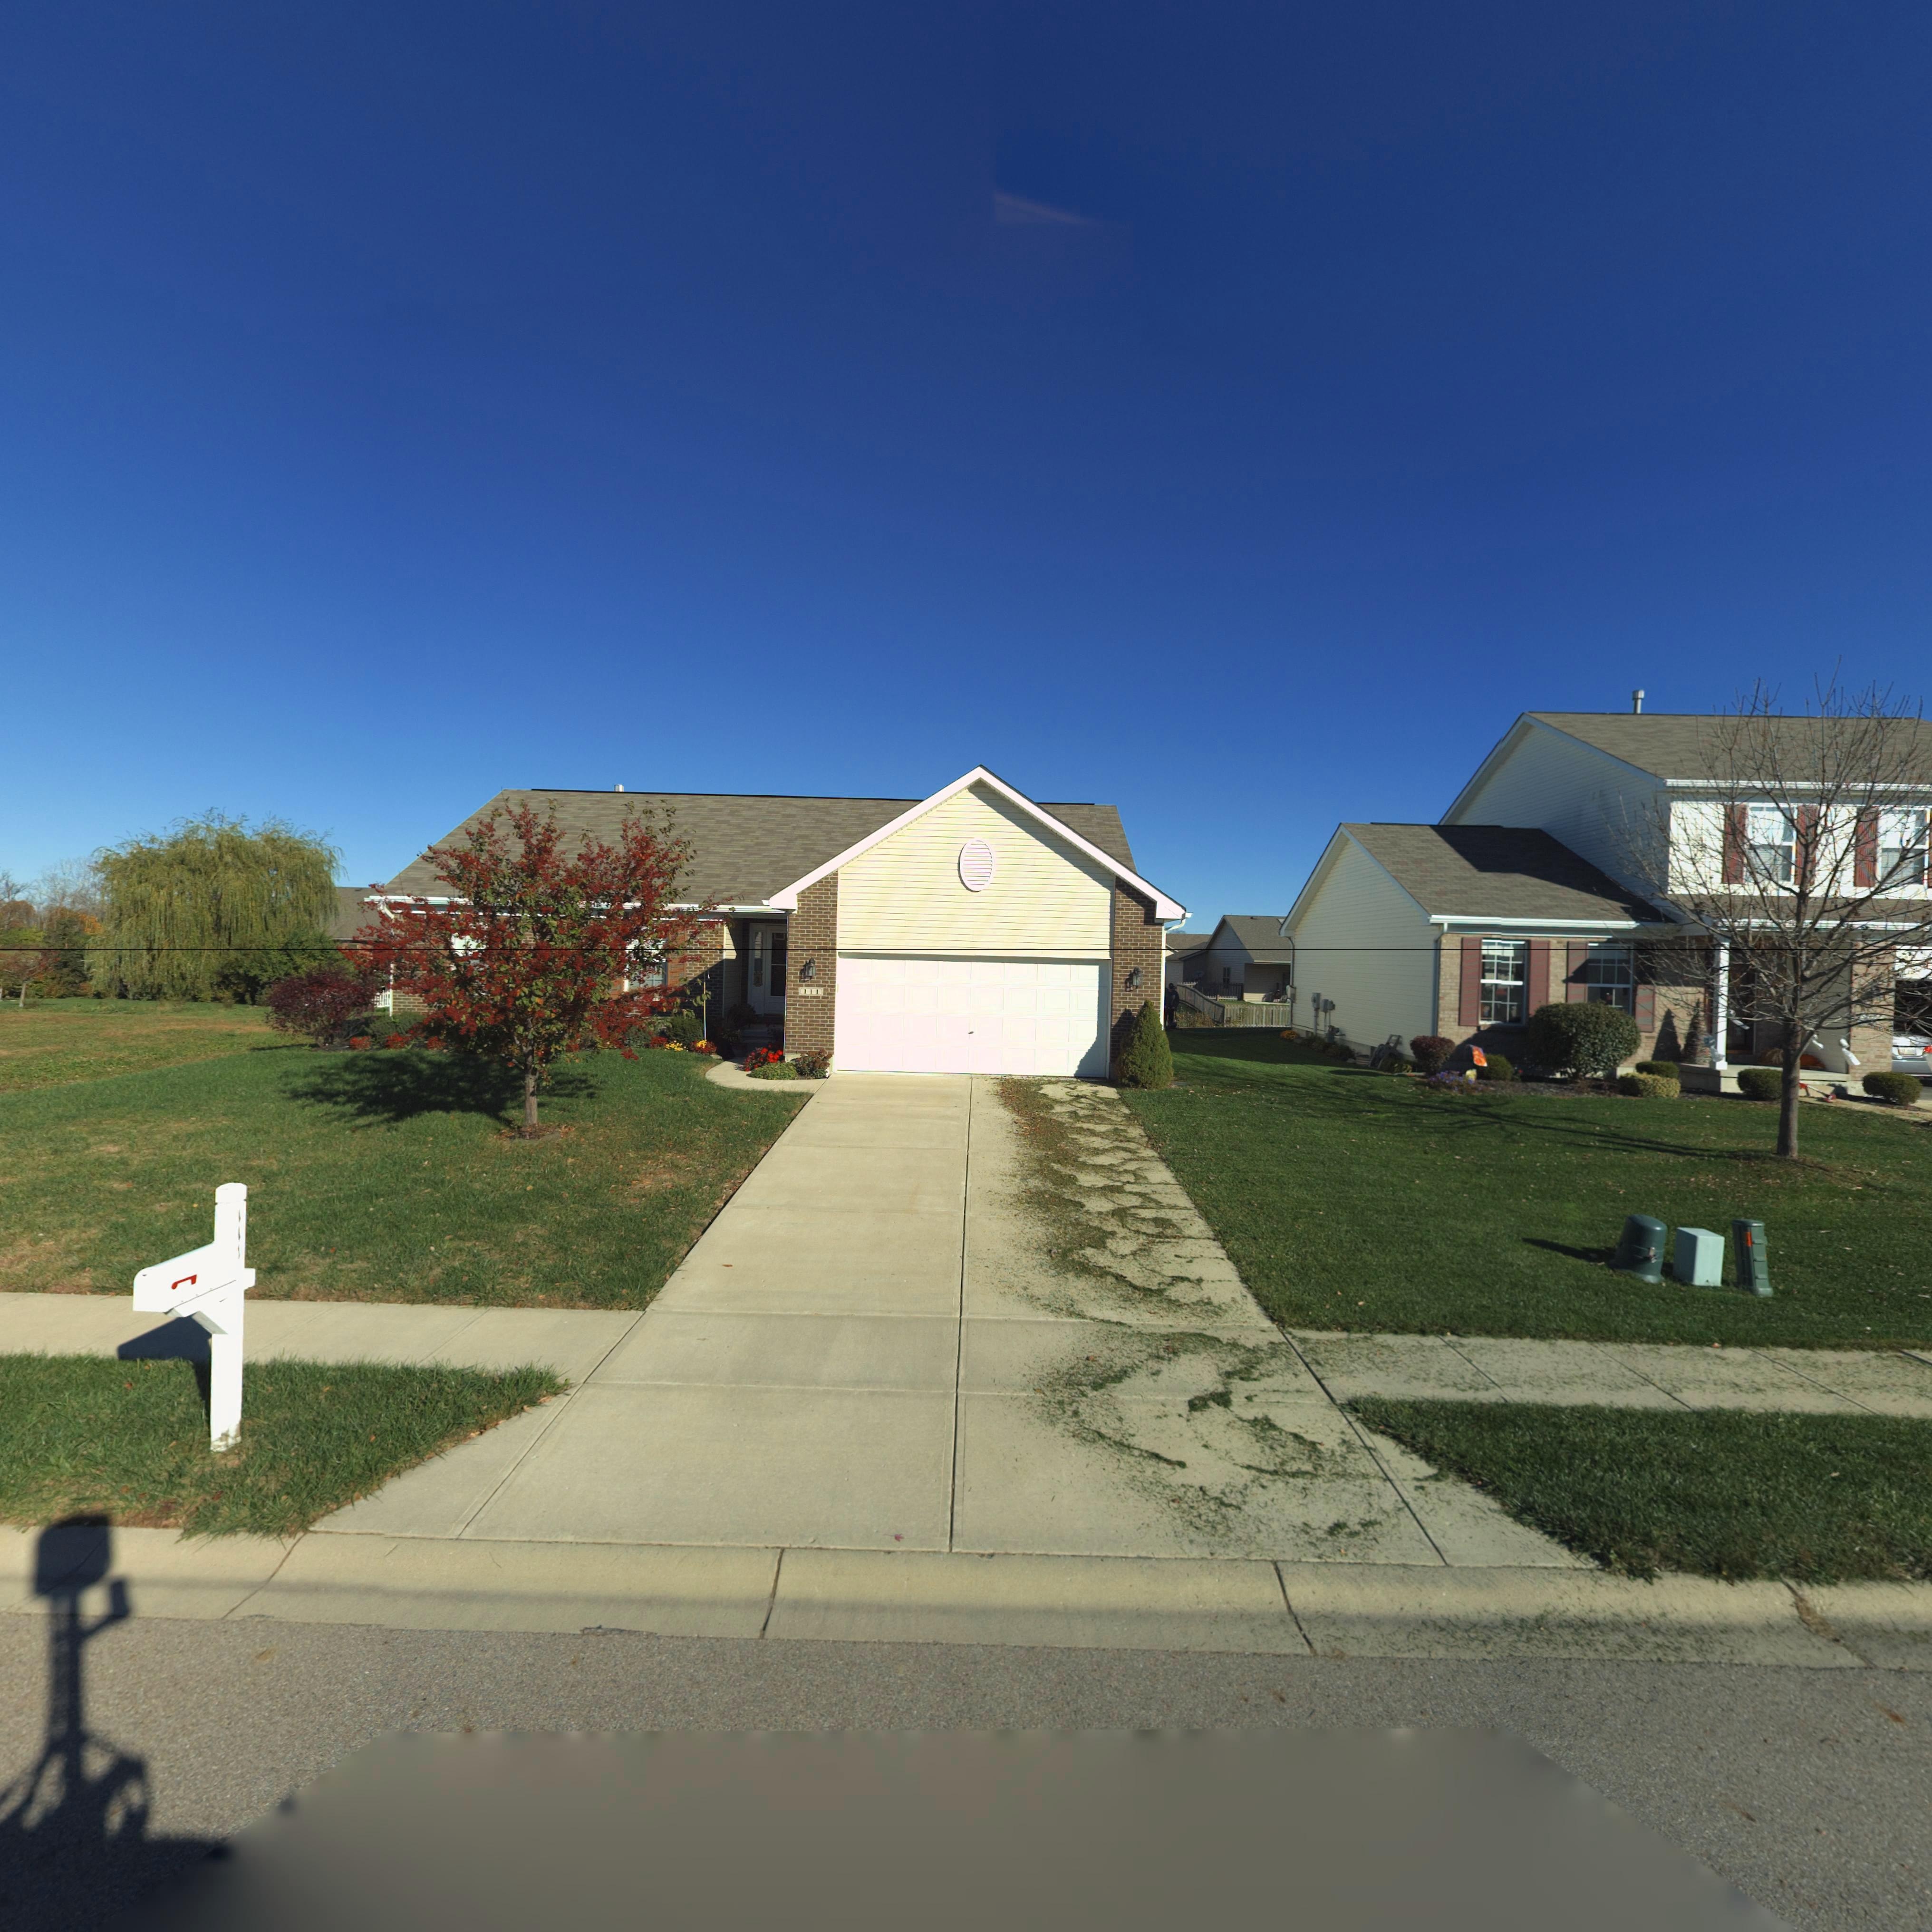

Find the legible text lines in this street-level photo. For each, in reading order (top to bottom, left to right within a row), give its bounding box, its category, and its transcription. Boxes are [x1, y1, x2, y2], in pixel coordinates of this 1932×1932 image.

[803, 988, 820, 995] StreetNumber: 111
[236, 1207, 242, 1260] StreetNumber: 111